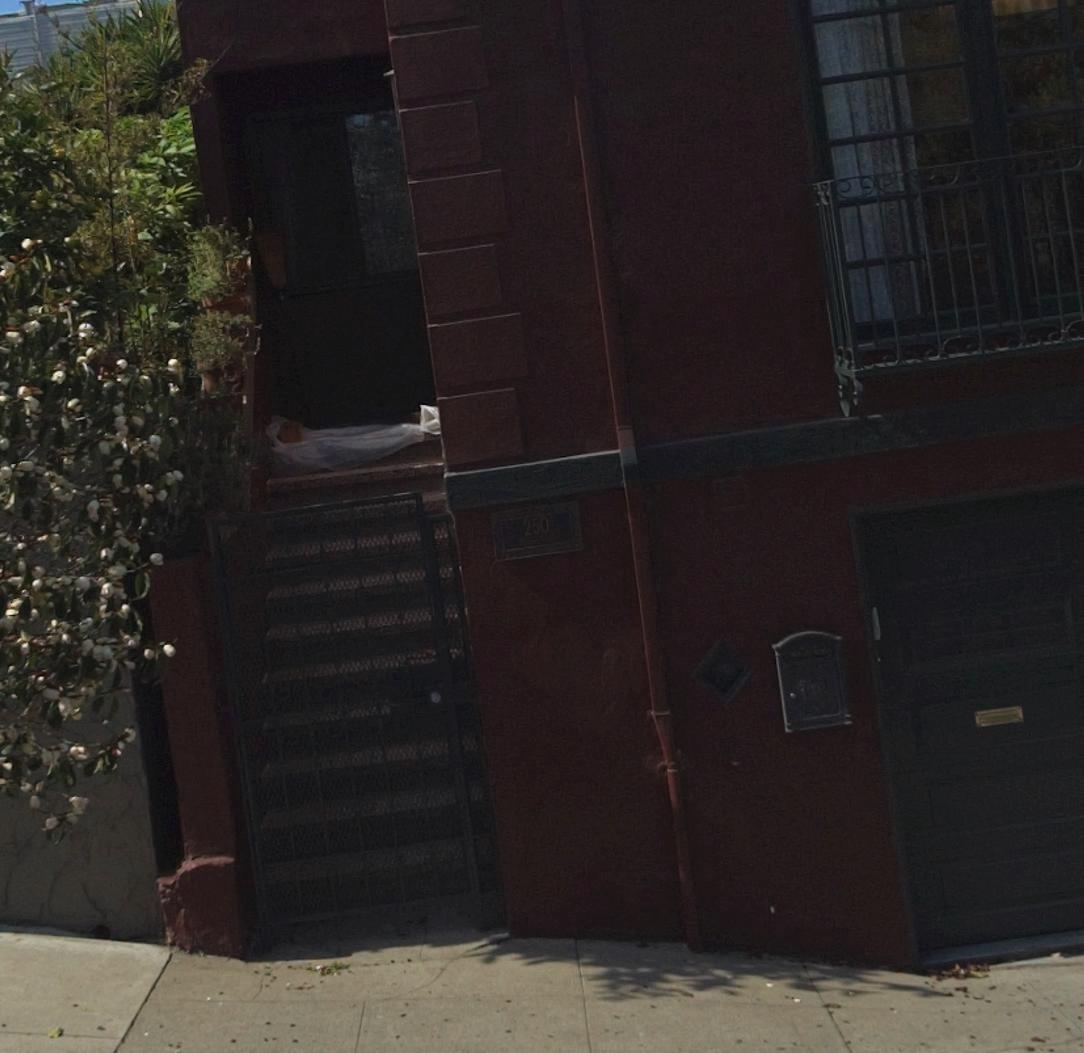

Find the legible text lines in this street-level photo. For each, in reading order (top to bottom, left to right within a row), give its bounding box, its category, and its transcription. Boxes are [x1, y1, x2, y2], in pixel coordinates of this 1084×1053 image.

[520, 513, 551, 539] StreetNumber: 250